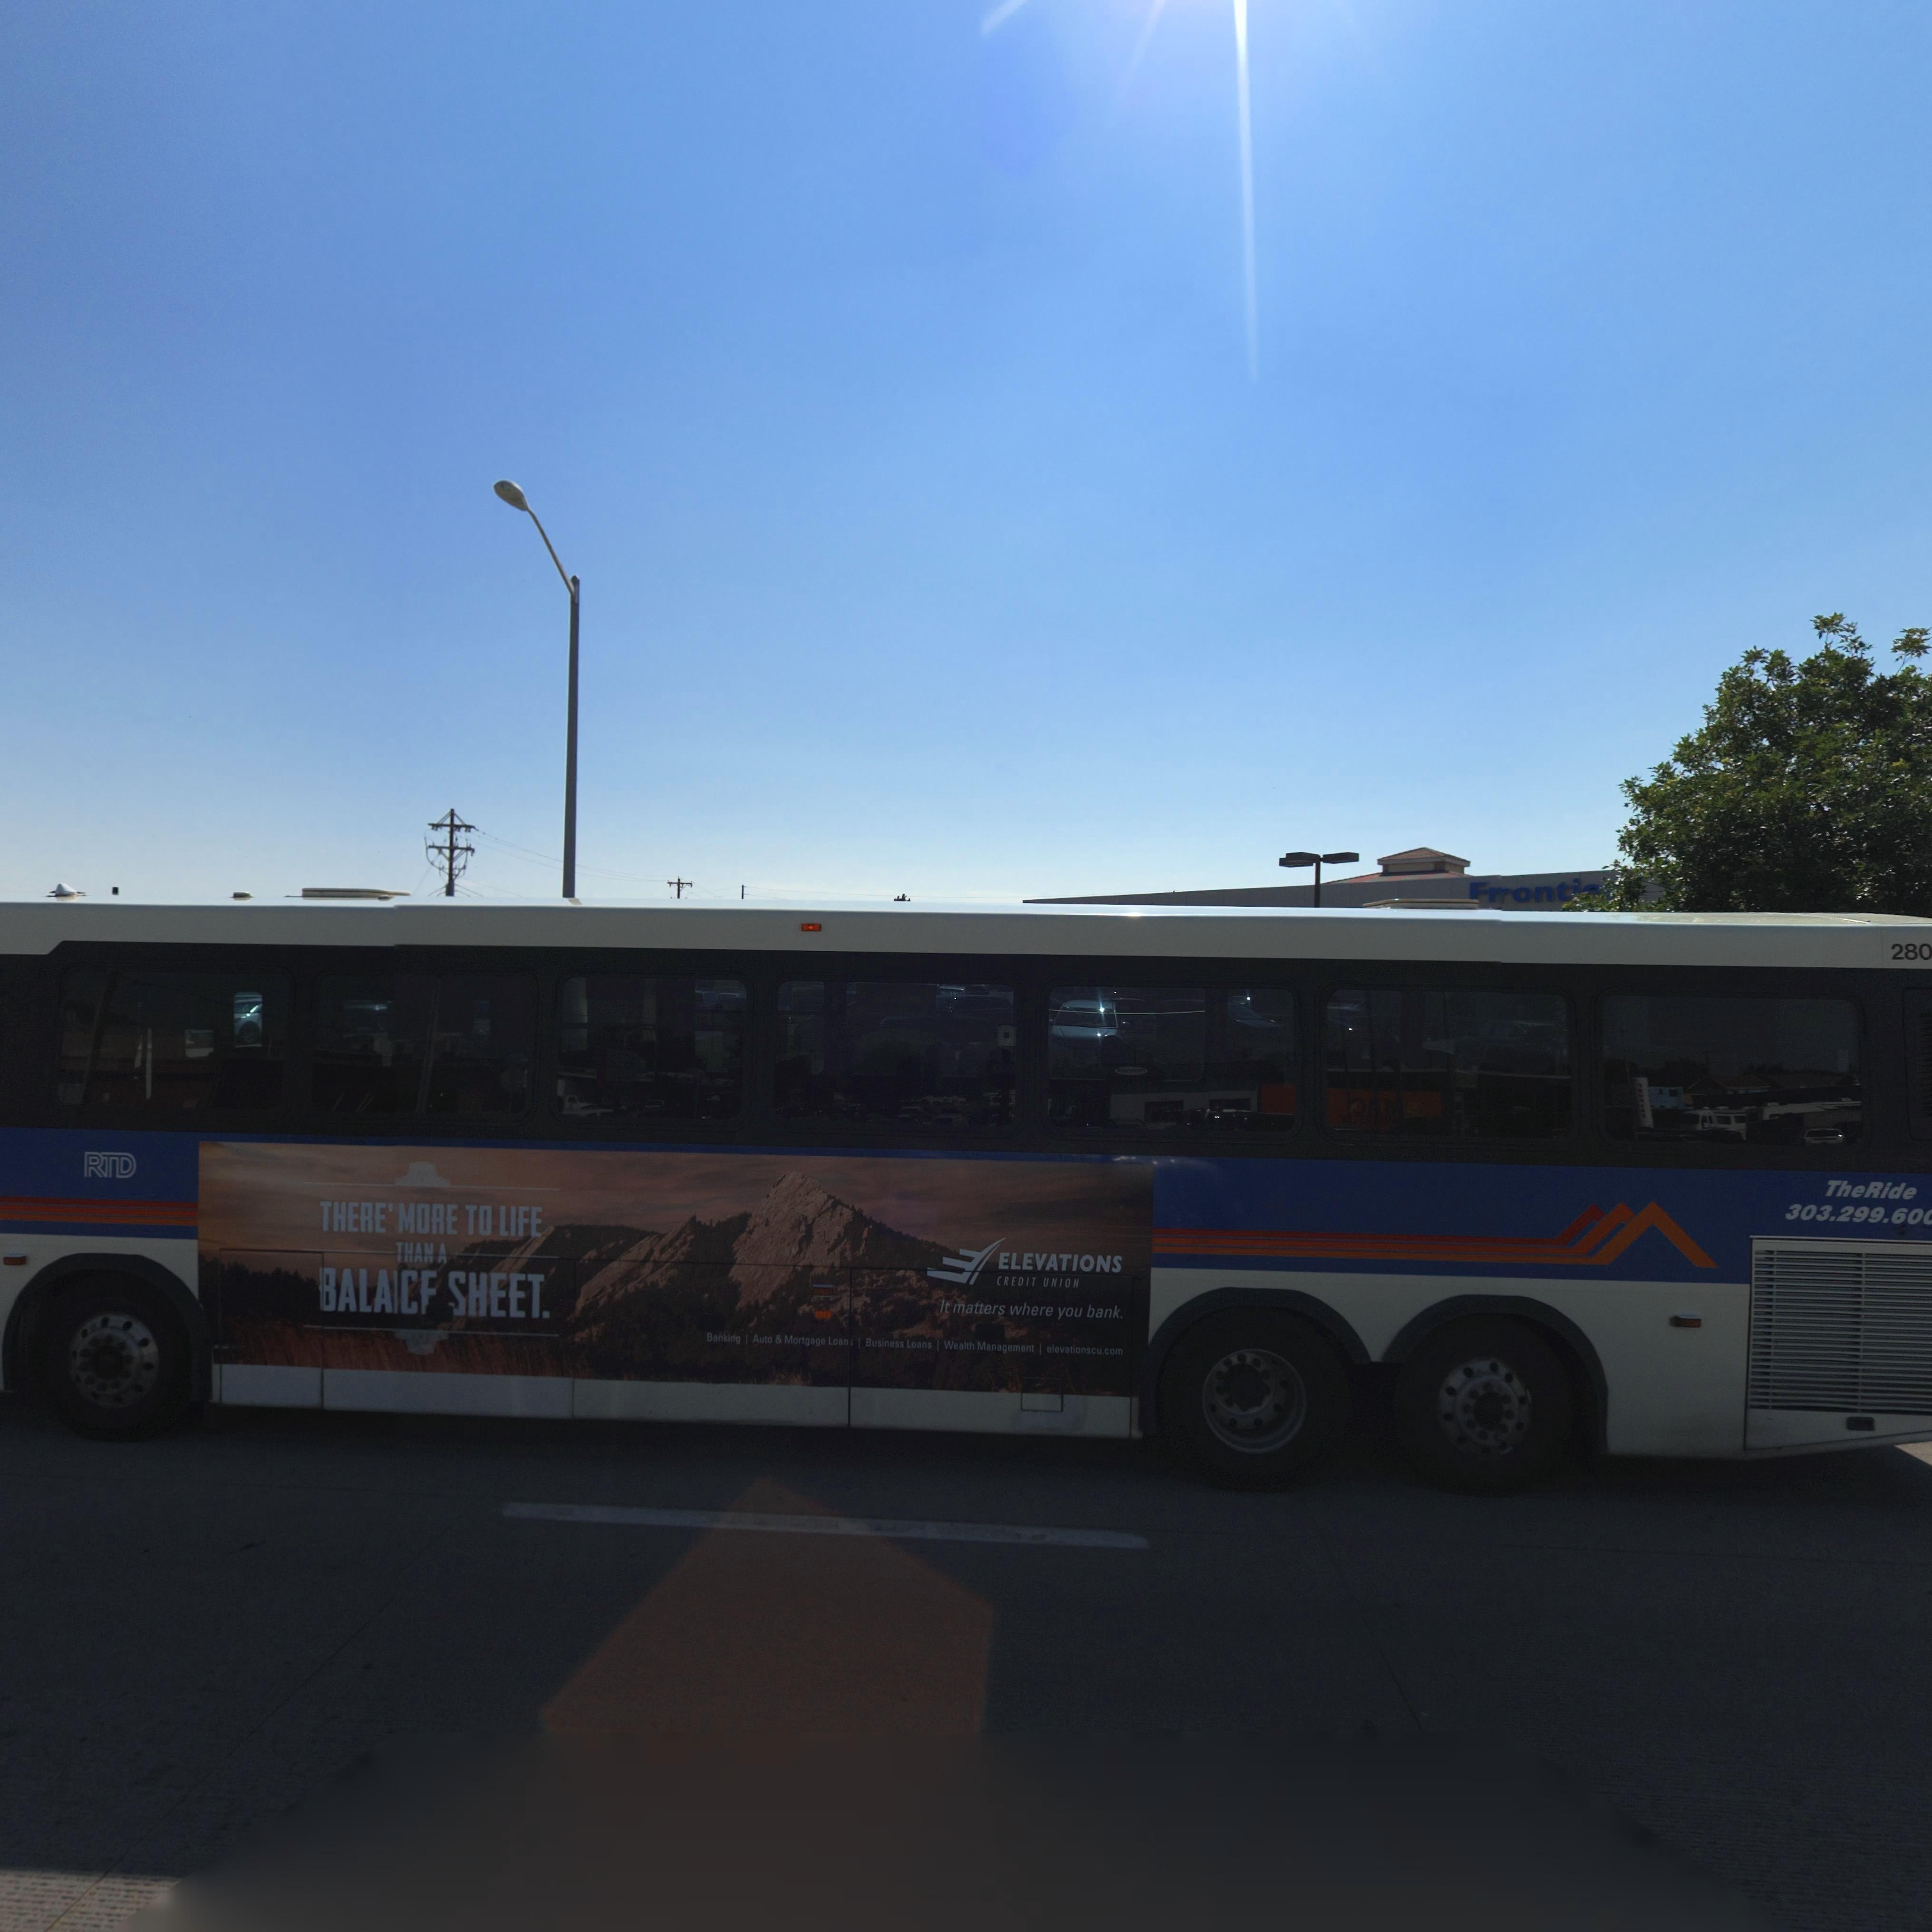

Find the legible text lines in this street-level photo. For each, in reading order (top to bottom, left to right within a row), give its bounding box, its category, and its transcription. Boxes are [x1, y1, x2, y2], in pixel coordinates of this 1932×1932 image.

[1468, 876, 1605, 905] BusinessName: F*ont**